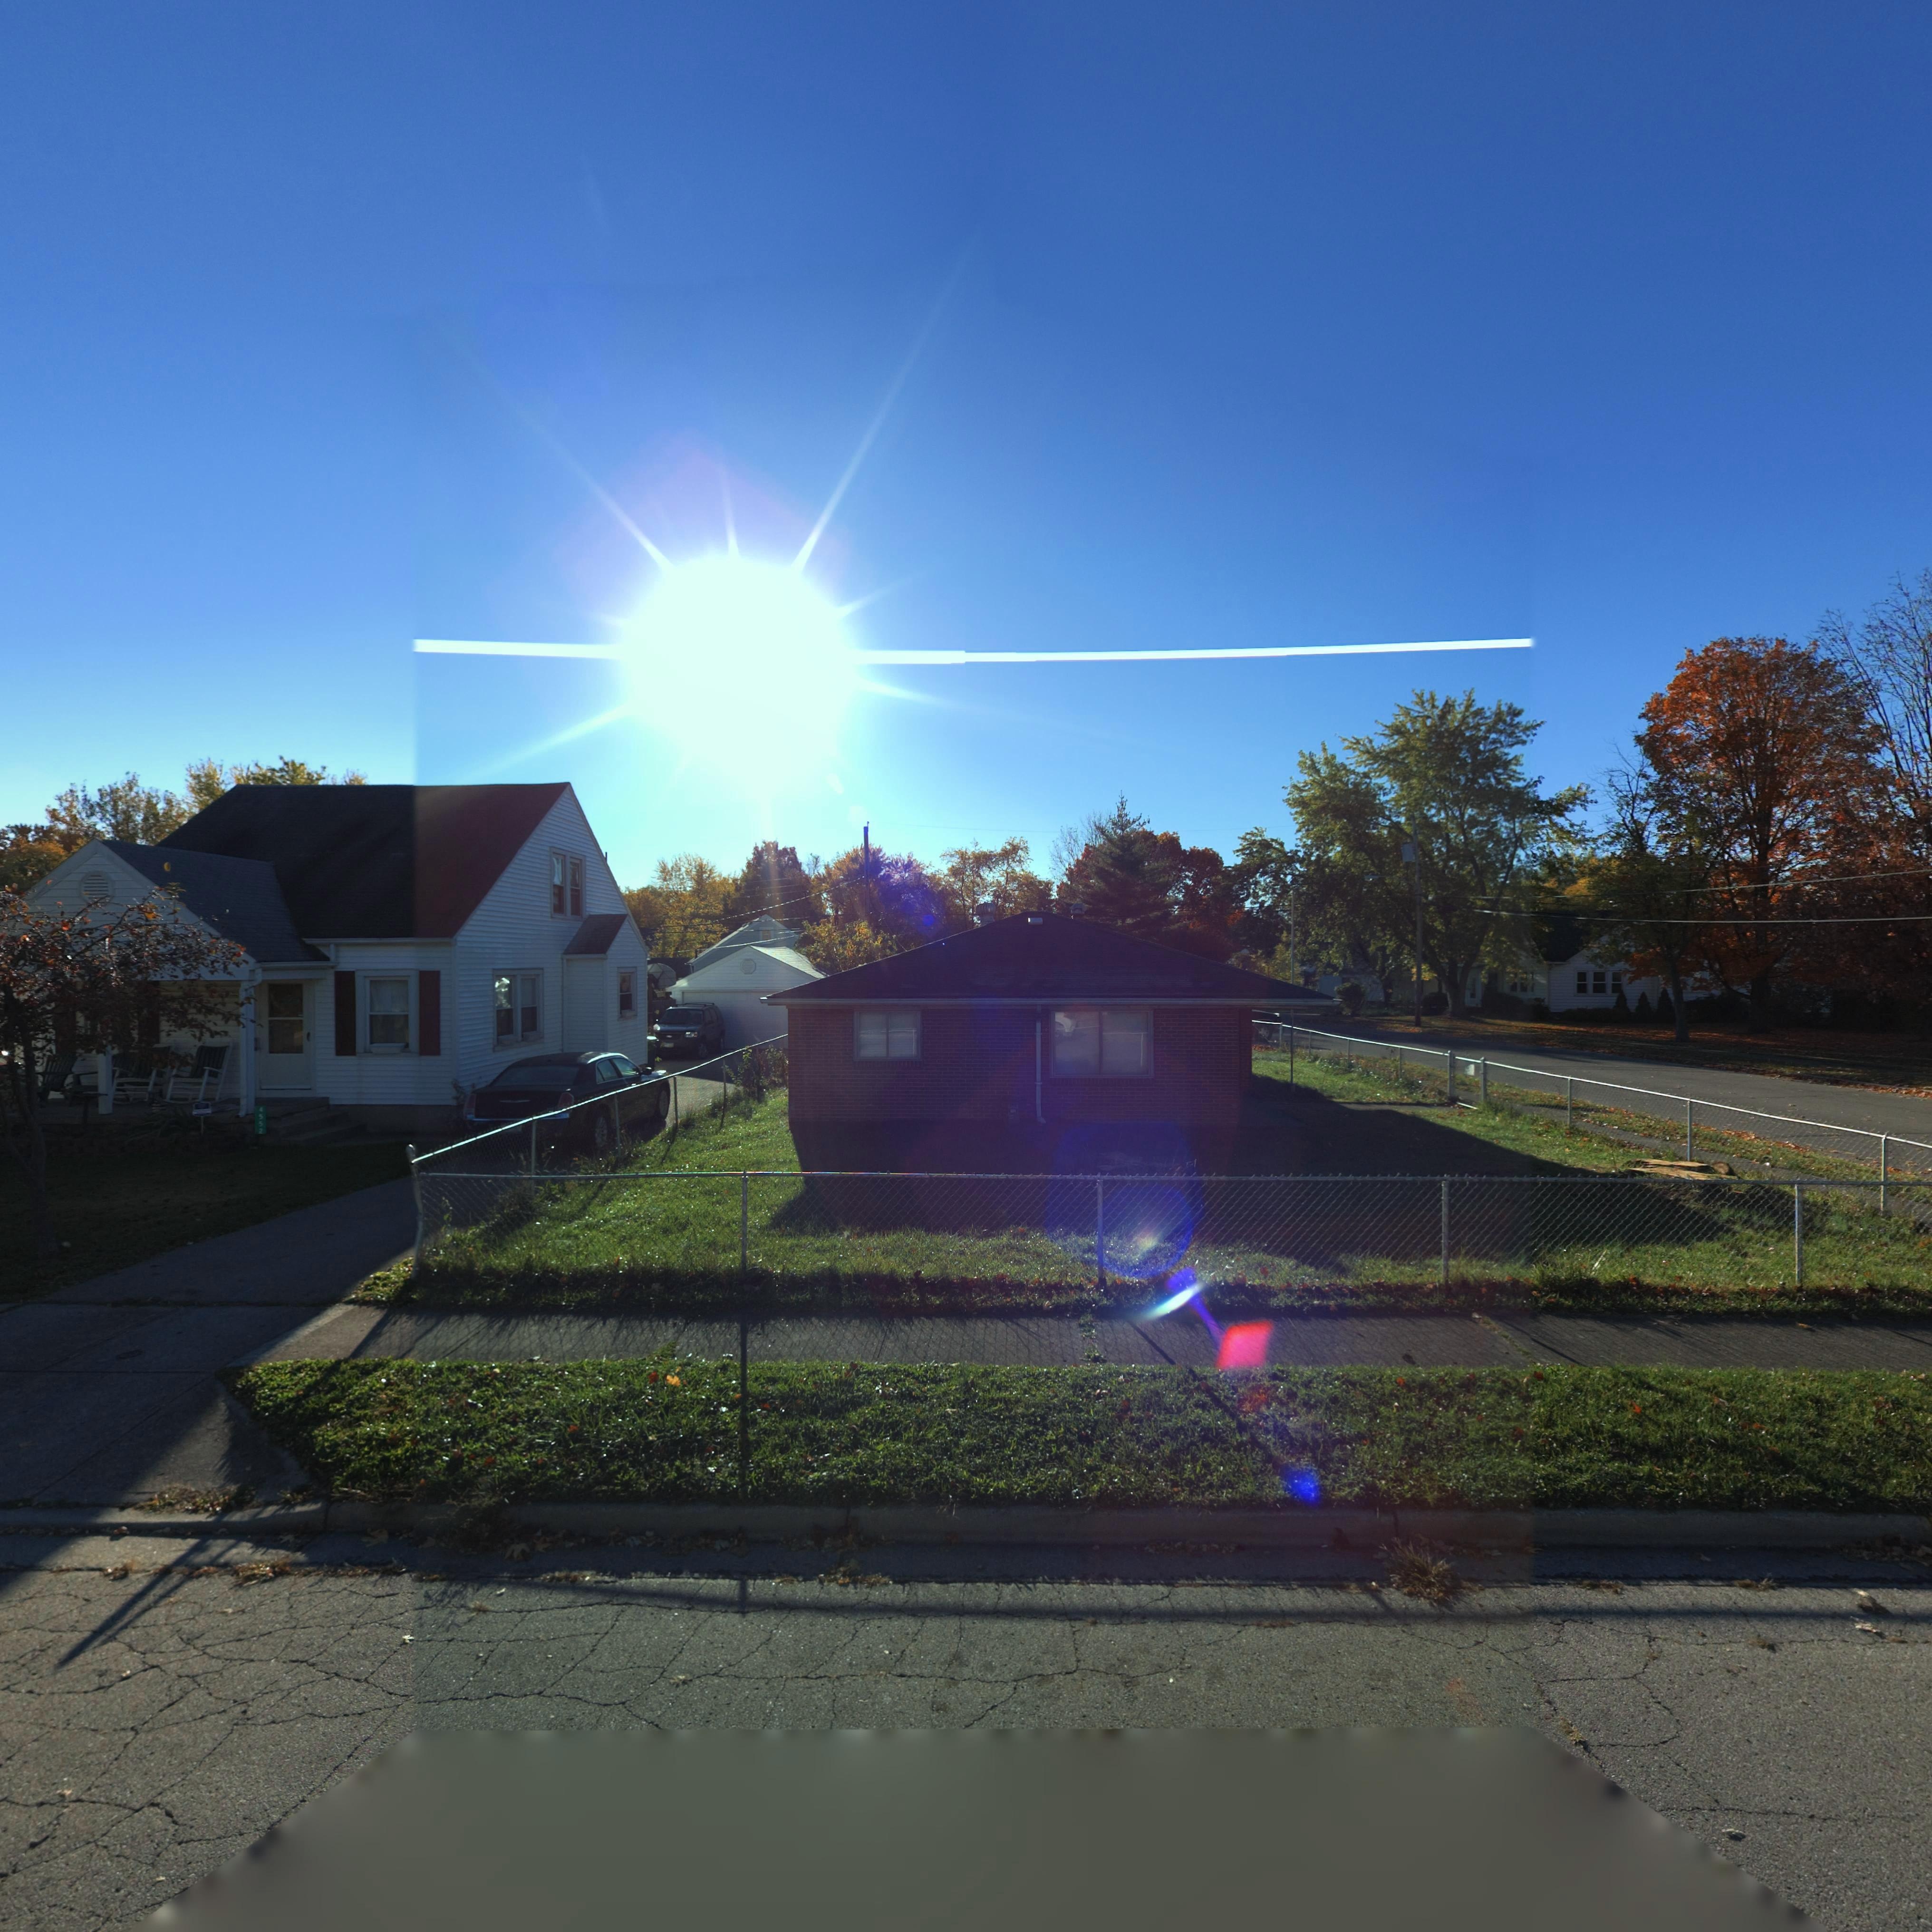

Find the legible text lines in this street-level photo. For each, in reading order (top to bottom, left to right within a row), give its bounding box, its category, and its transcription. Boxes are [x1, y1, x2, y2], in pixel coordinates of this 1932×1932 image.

[258, 1106, 263, 1135] StreetNumber: 4552